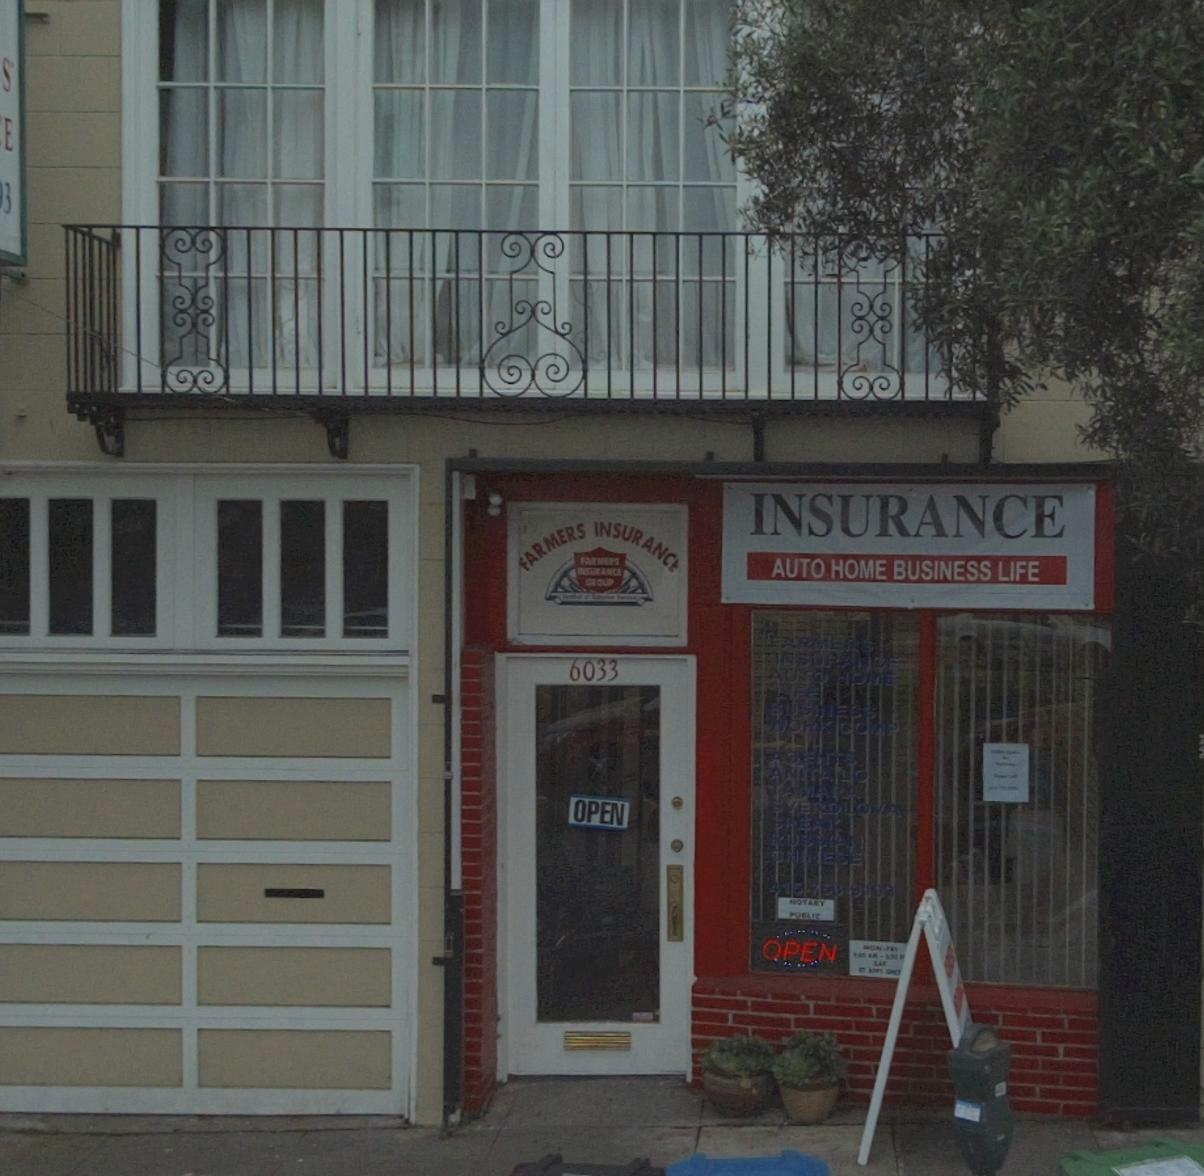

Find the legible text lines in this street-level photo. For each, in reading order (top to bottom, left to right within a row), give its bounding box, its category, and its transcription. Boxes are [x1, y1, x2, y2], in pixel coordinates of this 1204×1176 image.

[747, 490, 1072, 542] None: INSURANCE
[517, 518, 681, 573] BusinessName: *ARMERS INSURANC*
[766, 555, 1043, 585] None: AUTO HOME BUSINESS LIFE
[566, 655, 622, 685] StreetNumber: 6033
[571, 797, 627, 829] None: OPEN
[760, 936, 840, 966] None: OPEN